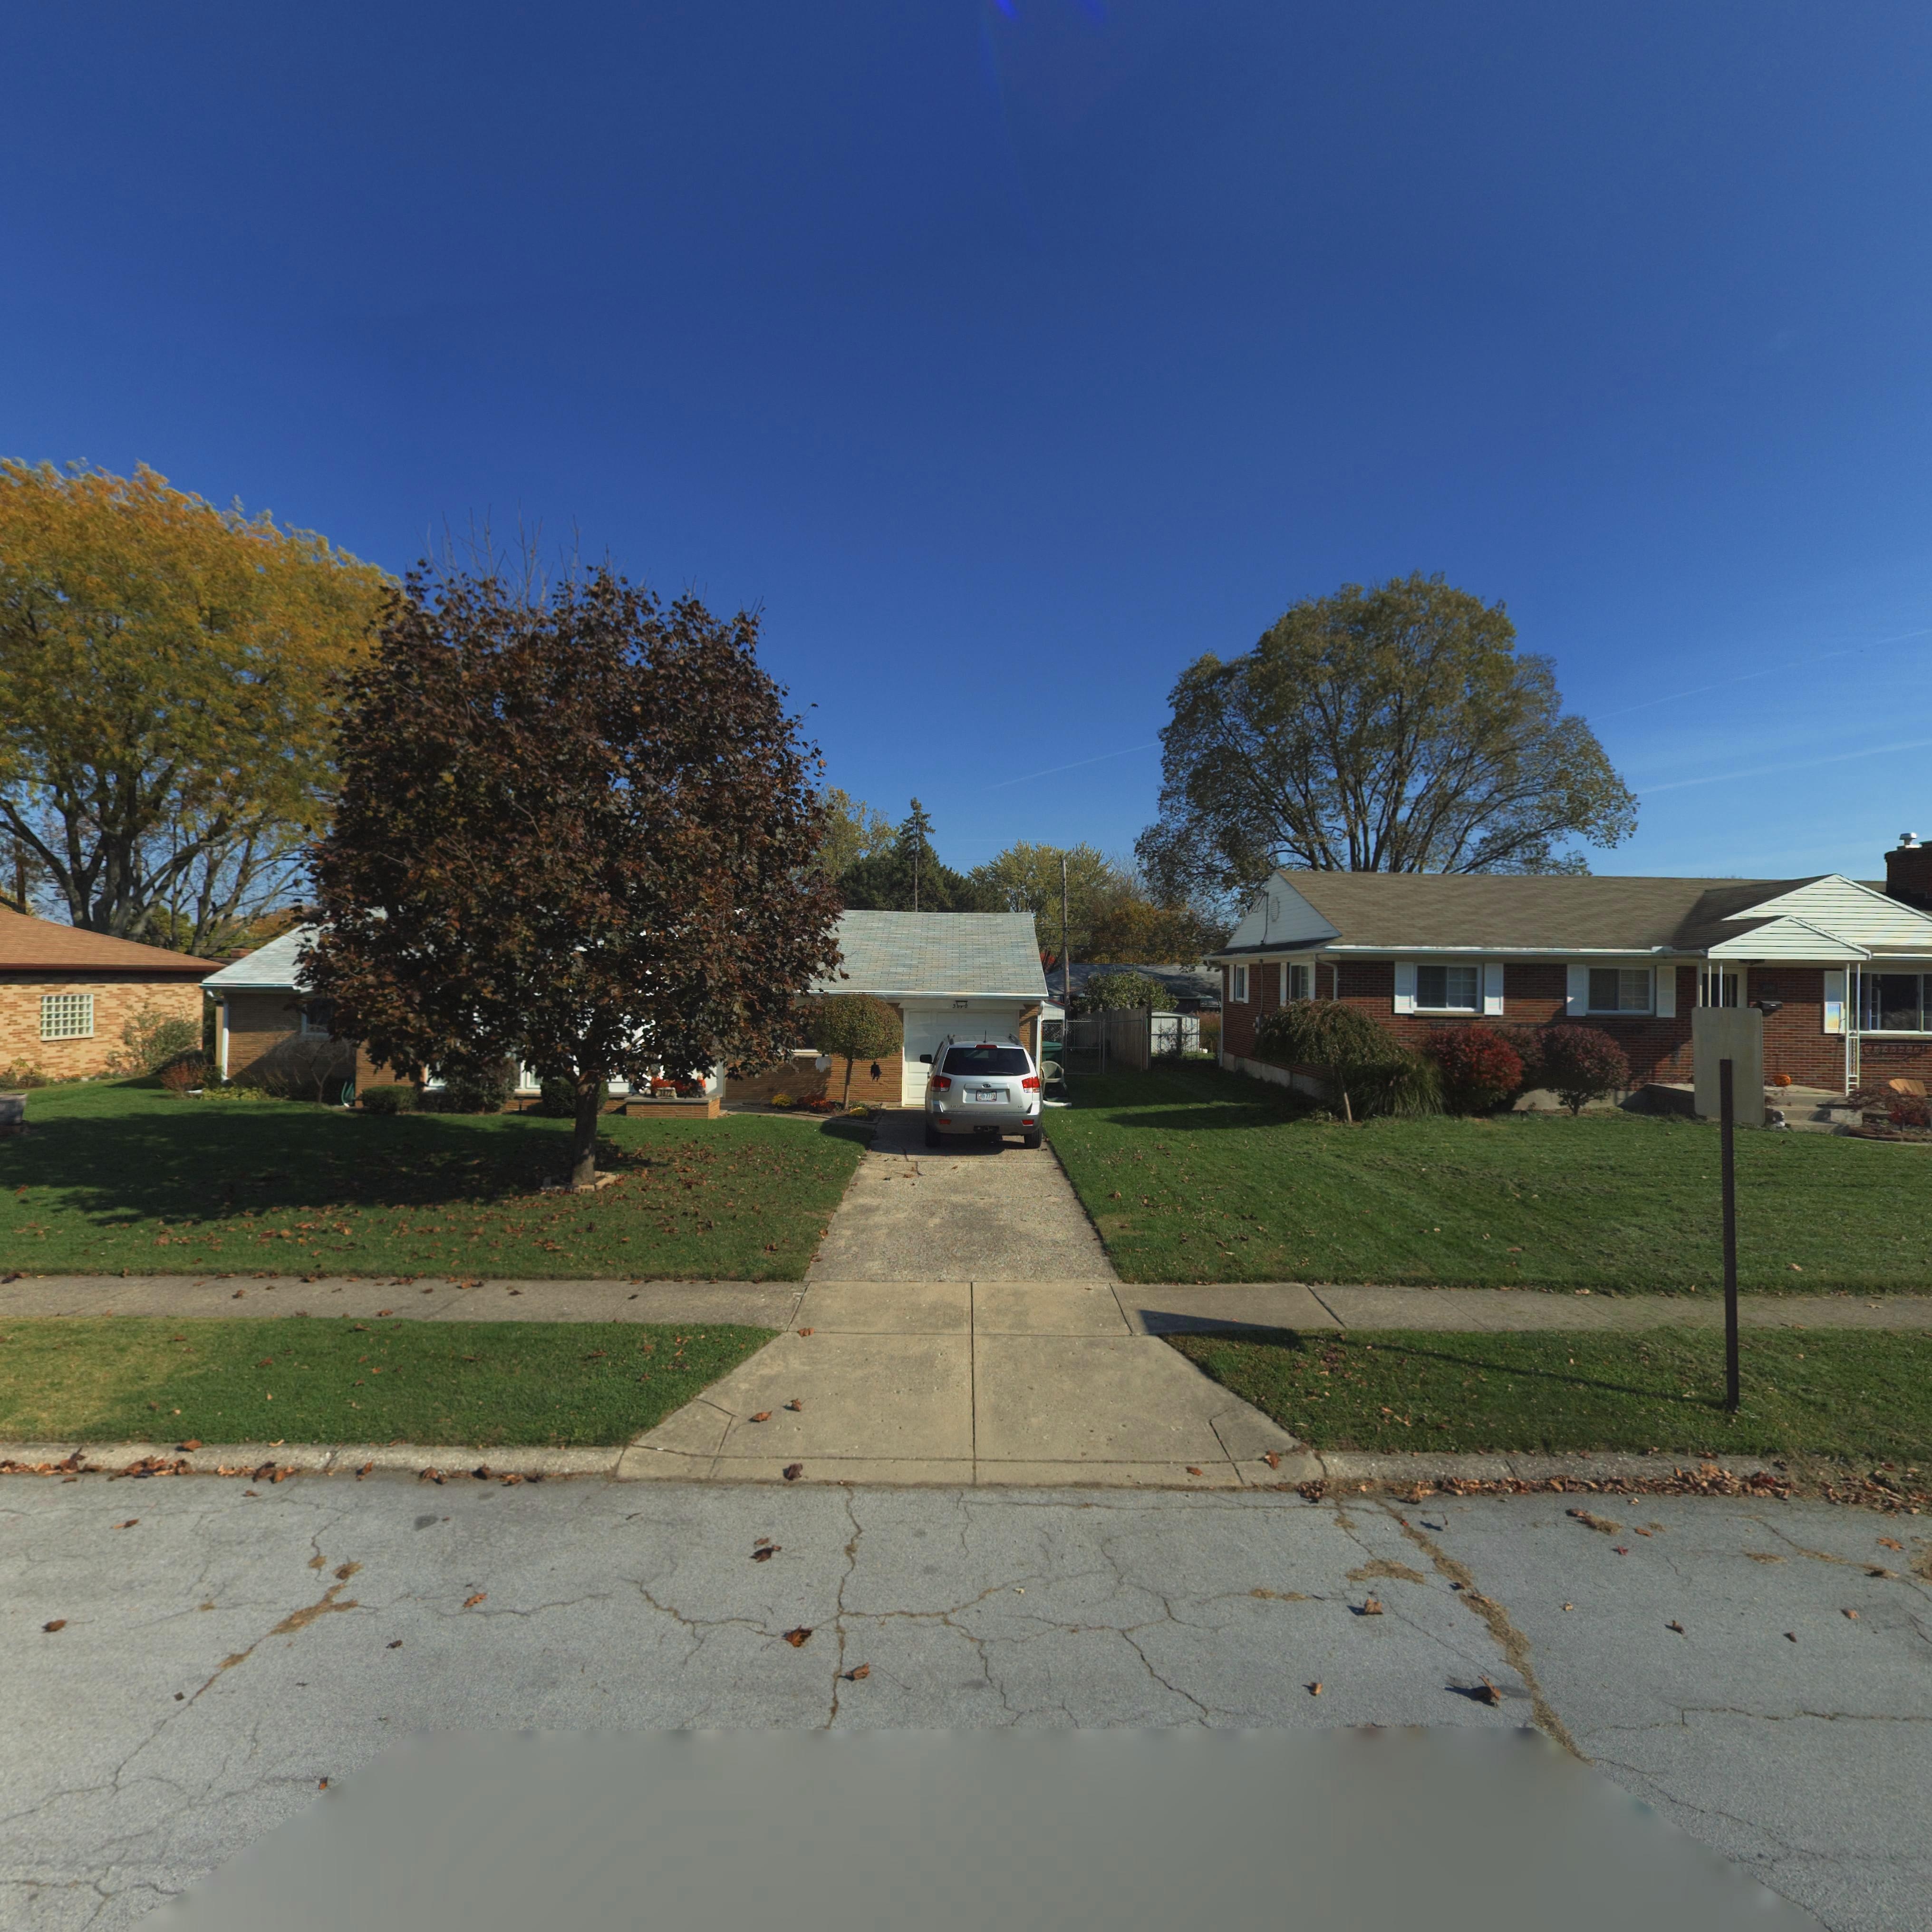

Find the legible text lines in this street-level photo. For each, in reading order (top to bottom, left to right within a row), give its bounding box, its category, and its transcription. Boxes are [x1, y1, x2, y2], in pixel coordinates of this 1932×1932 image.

[952, 1003, 968, 1008] StreetNumber: 3**2
[977, 1093, 995, 1099] None: GHB 7779